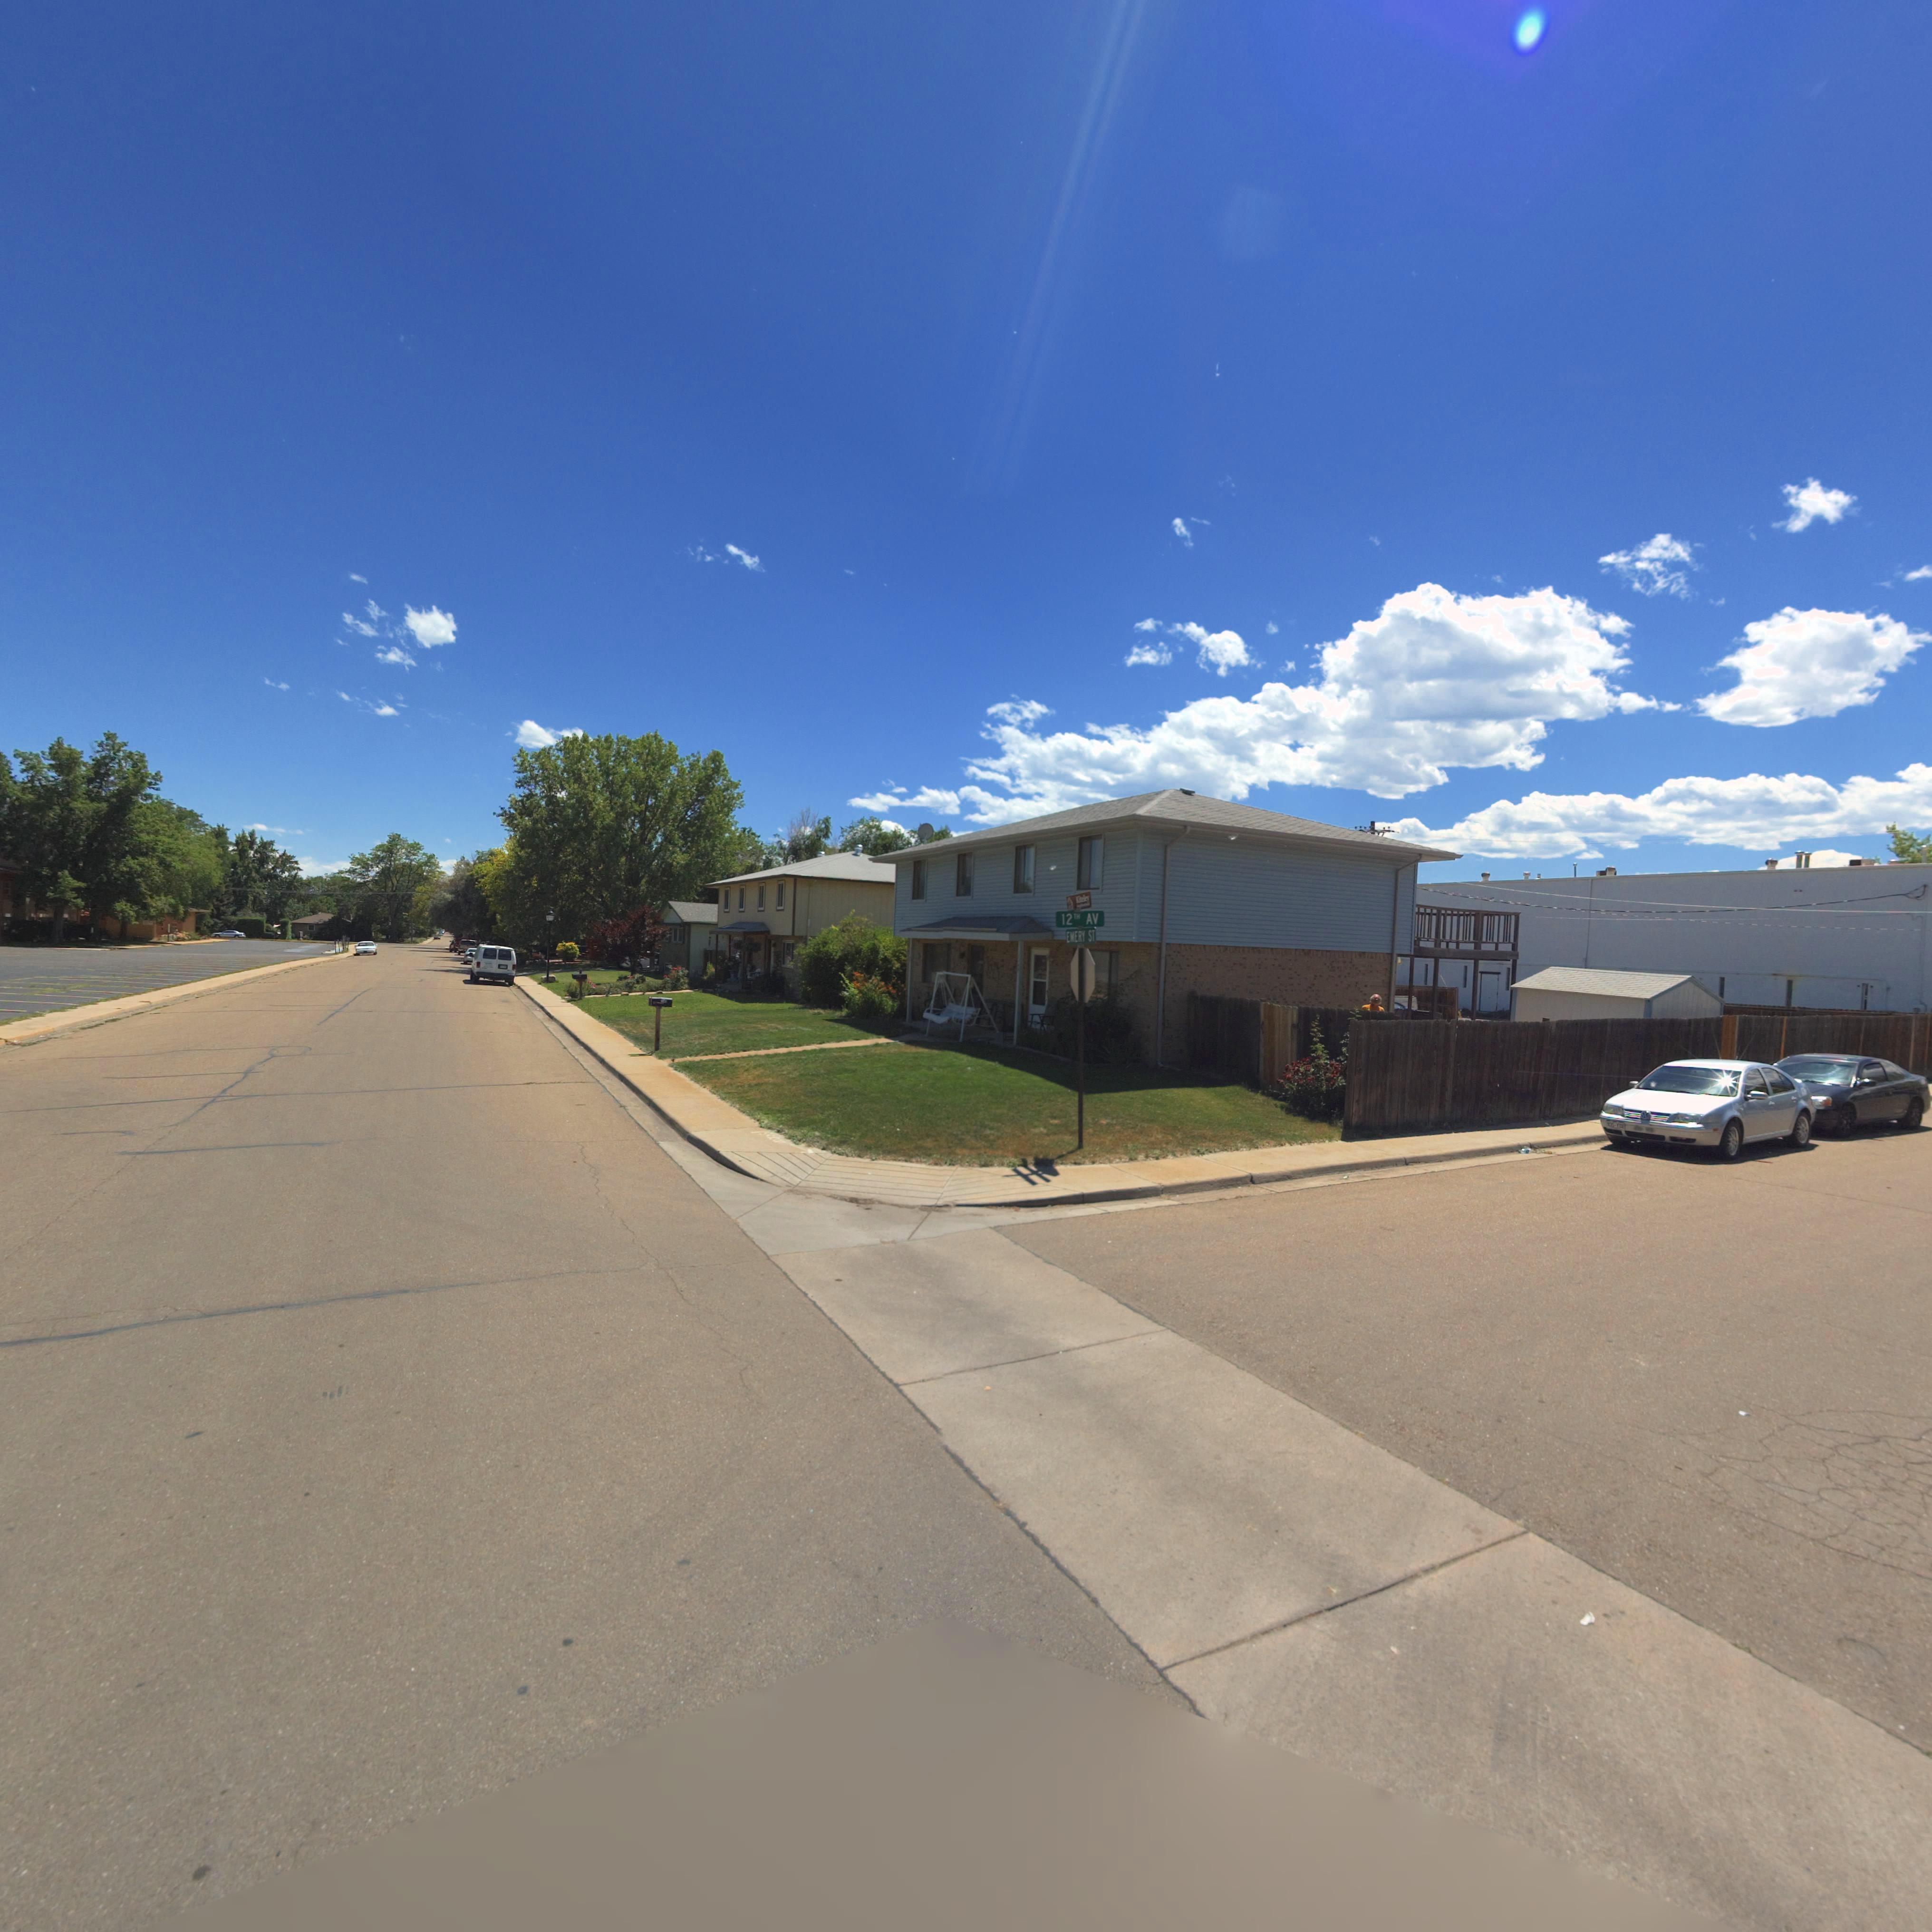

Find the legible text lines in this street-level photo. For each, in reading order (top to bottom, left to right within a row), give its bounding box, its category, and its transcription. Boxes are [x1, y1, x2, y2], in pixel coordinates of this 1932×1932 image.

[1061, 912, 1099, 926] StreetName: 12TH AV
[1066, 929, 1095, 943] StreetName: EMERY ST